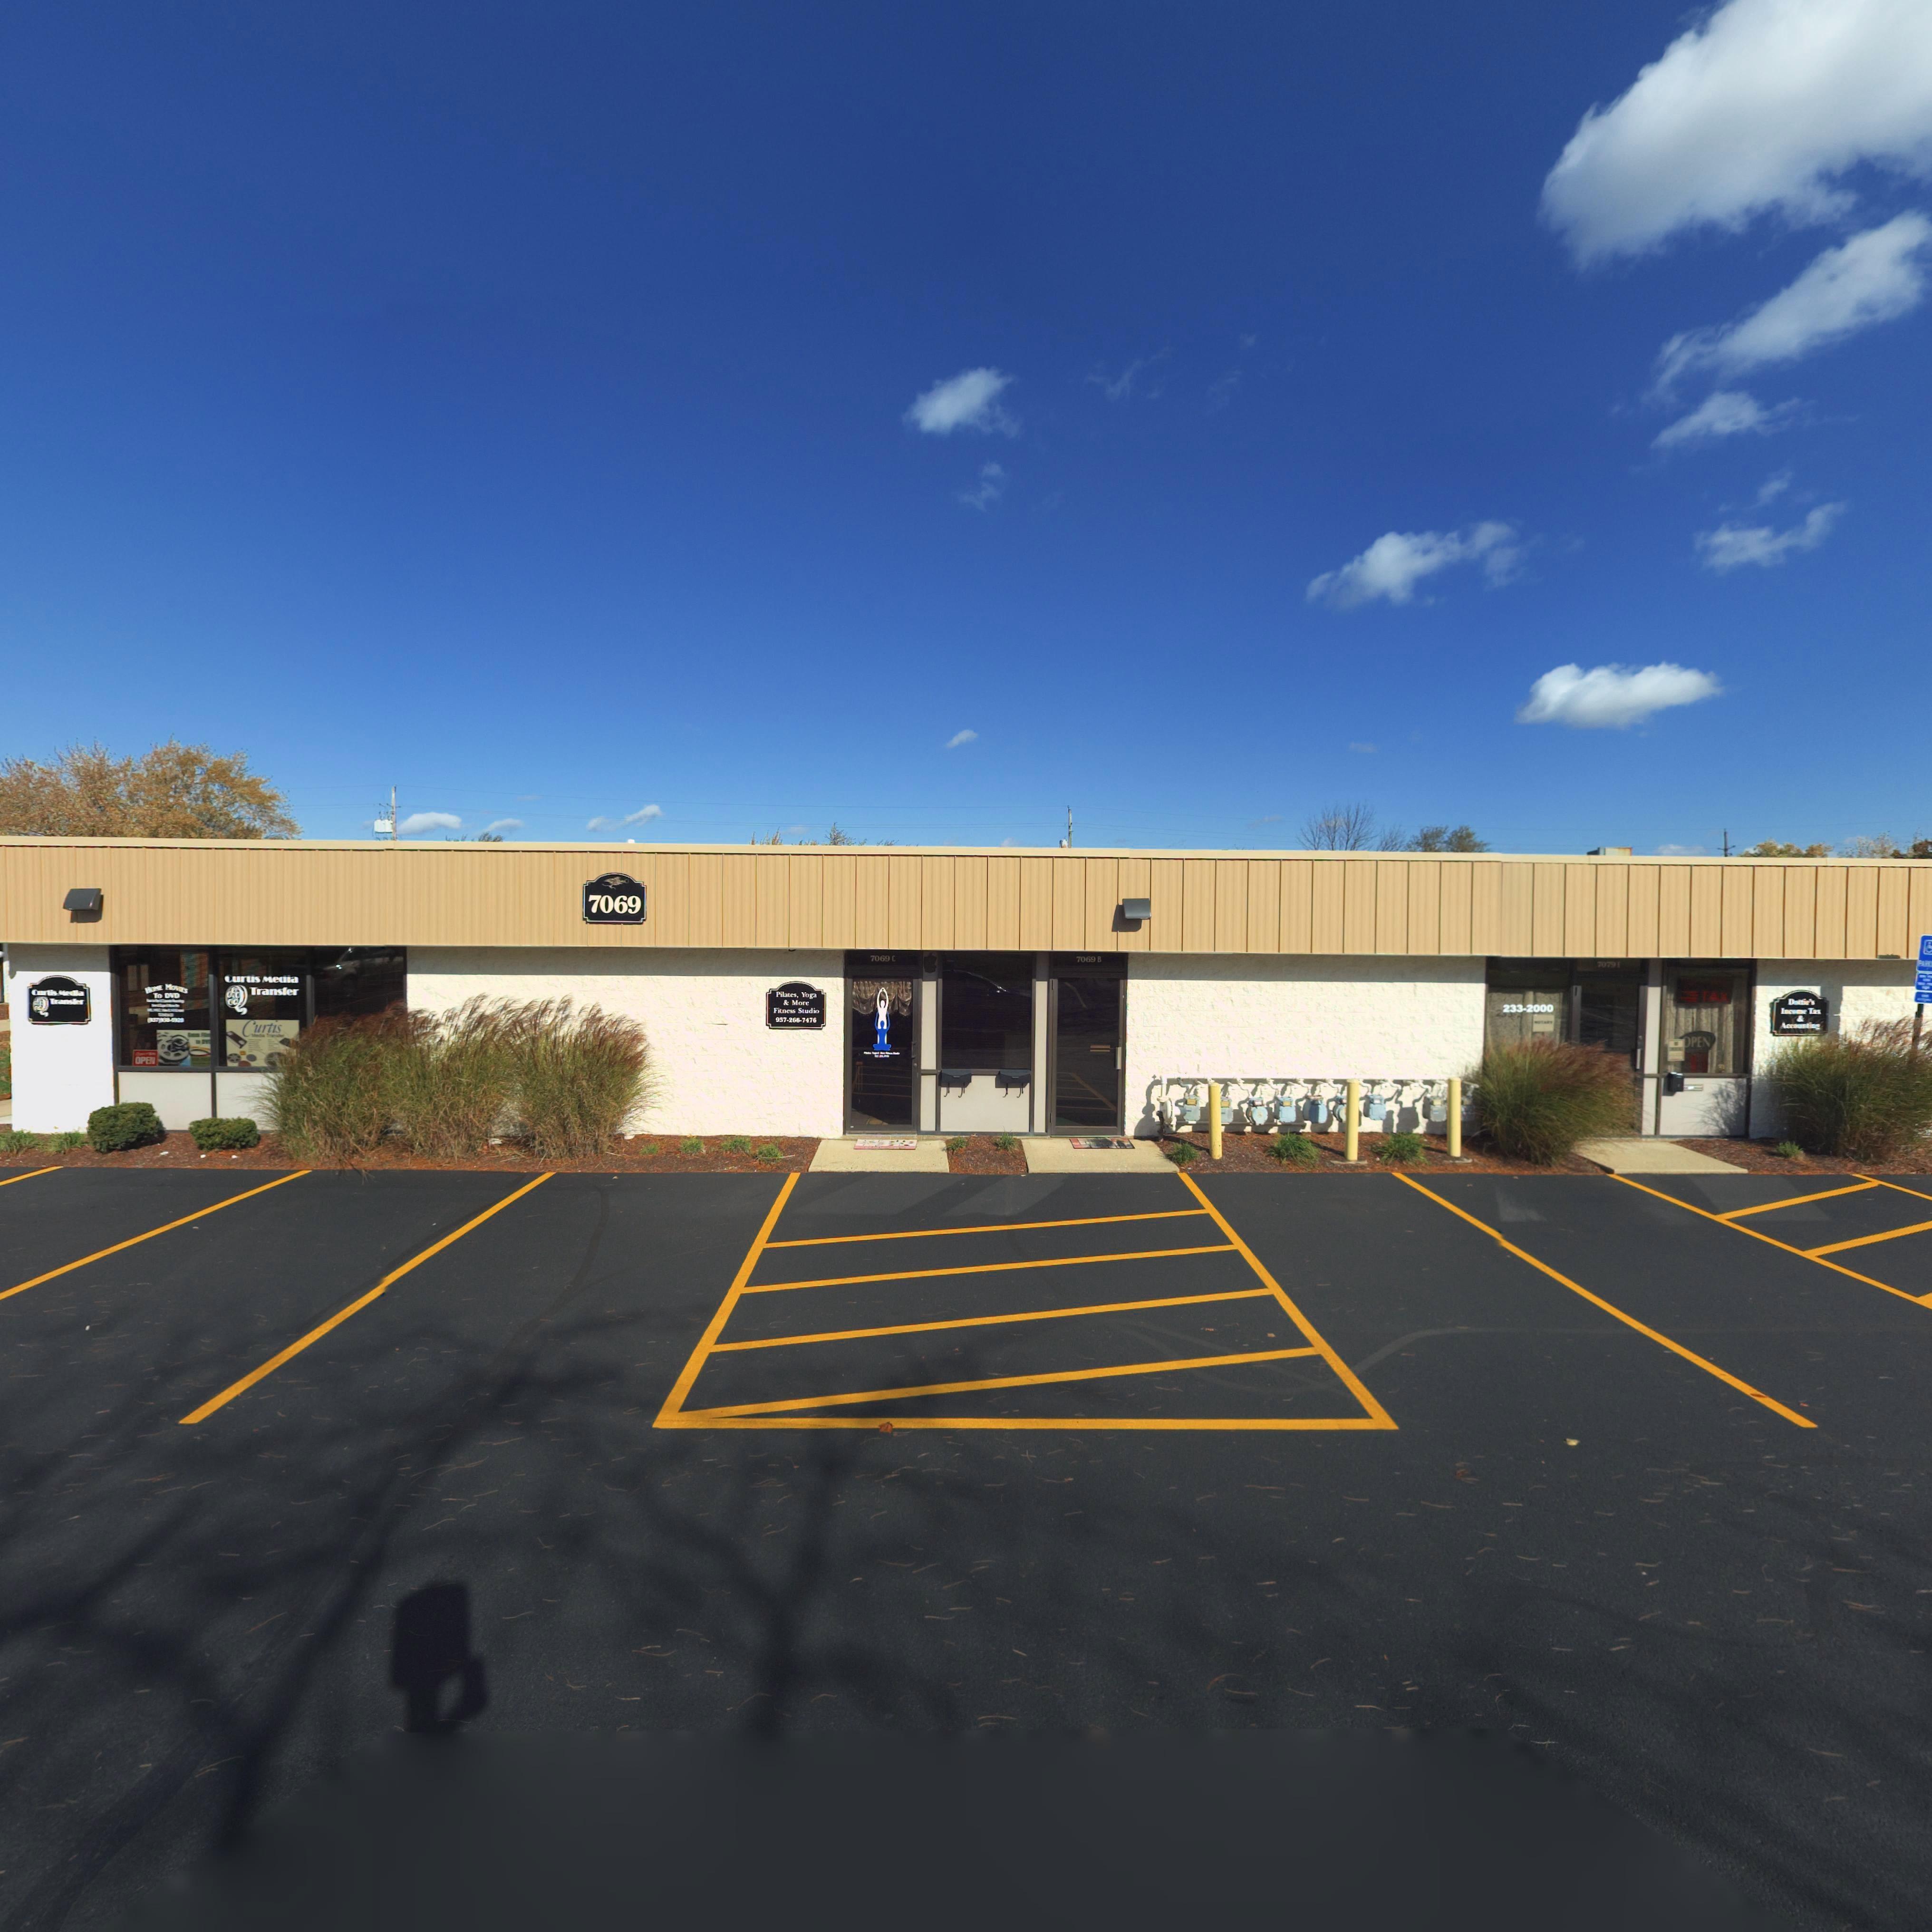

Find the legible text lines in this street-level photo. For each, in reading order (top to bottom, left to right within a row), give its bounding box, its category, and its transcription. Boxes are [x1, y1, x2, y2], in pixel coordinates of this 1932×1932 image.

[587, 893, 643, 916] StreetNumber: 7069
[869, 954, 897, 963] StreetNumber: 7069 C
[1075, 955, 1103, 964] StreetNumber: 7069 B
[1595, 960, 1622, 970] StreetNumber: 7079 *